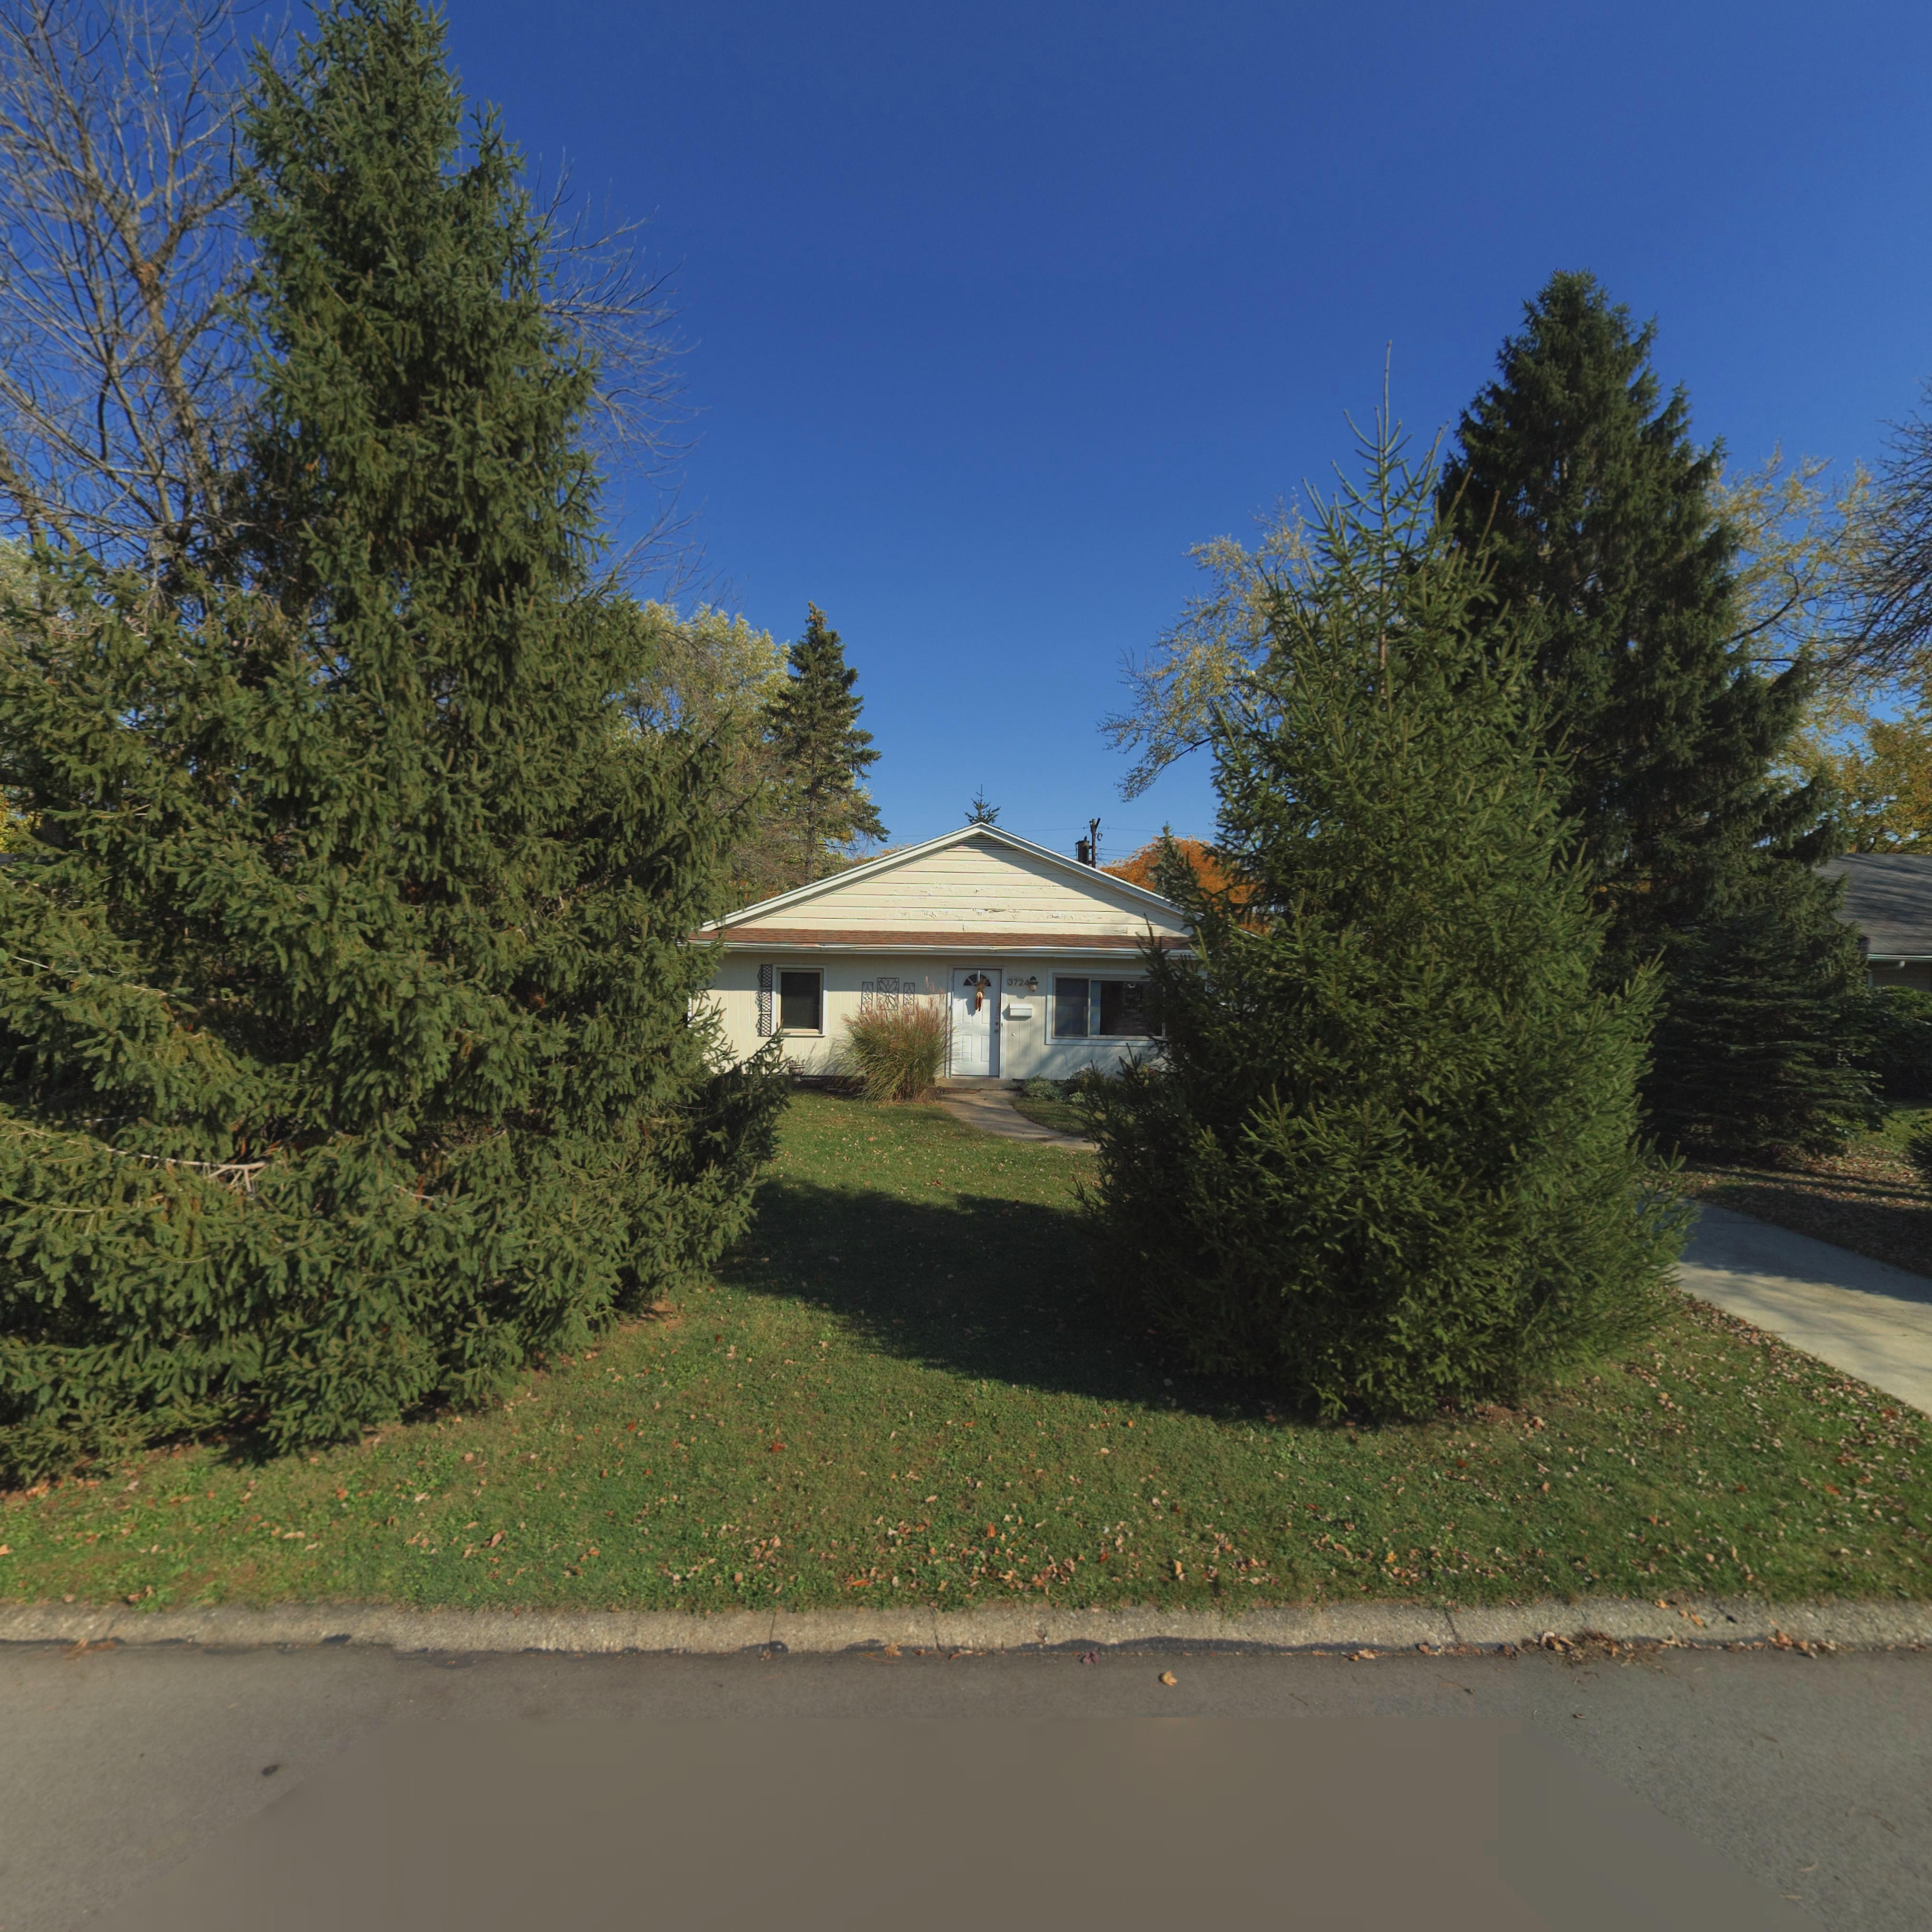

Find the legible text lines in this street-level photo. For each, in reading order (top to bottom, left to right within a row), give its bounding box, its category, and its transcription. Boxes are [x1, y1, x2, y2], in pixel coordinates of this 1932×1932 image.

[1008, 978, 1029, 987] StreetNumber: 3724